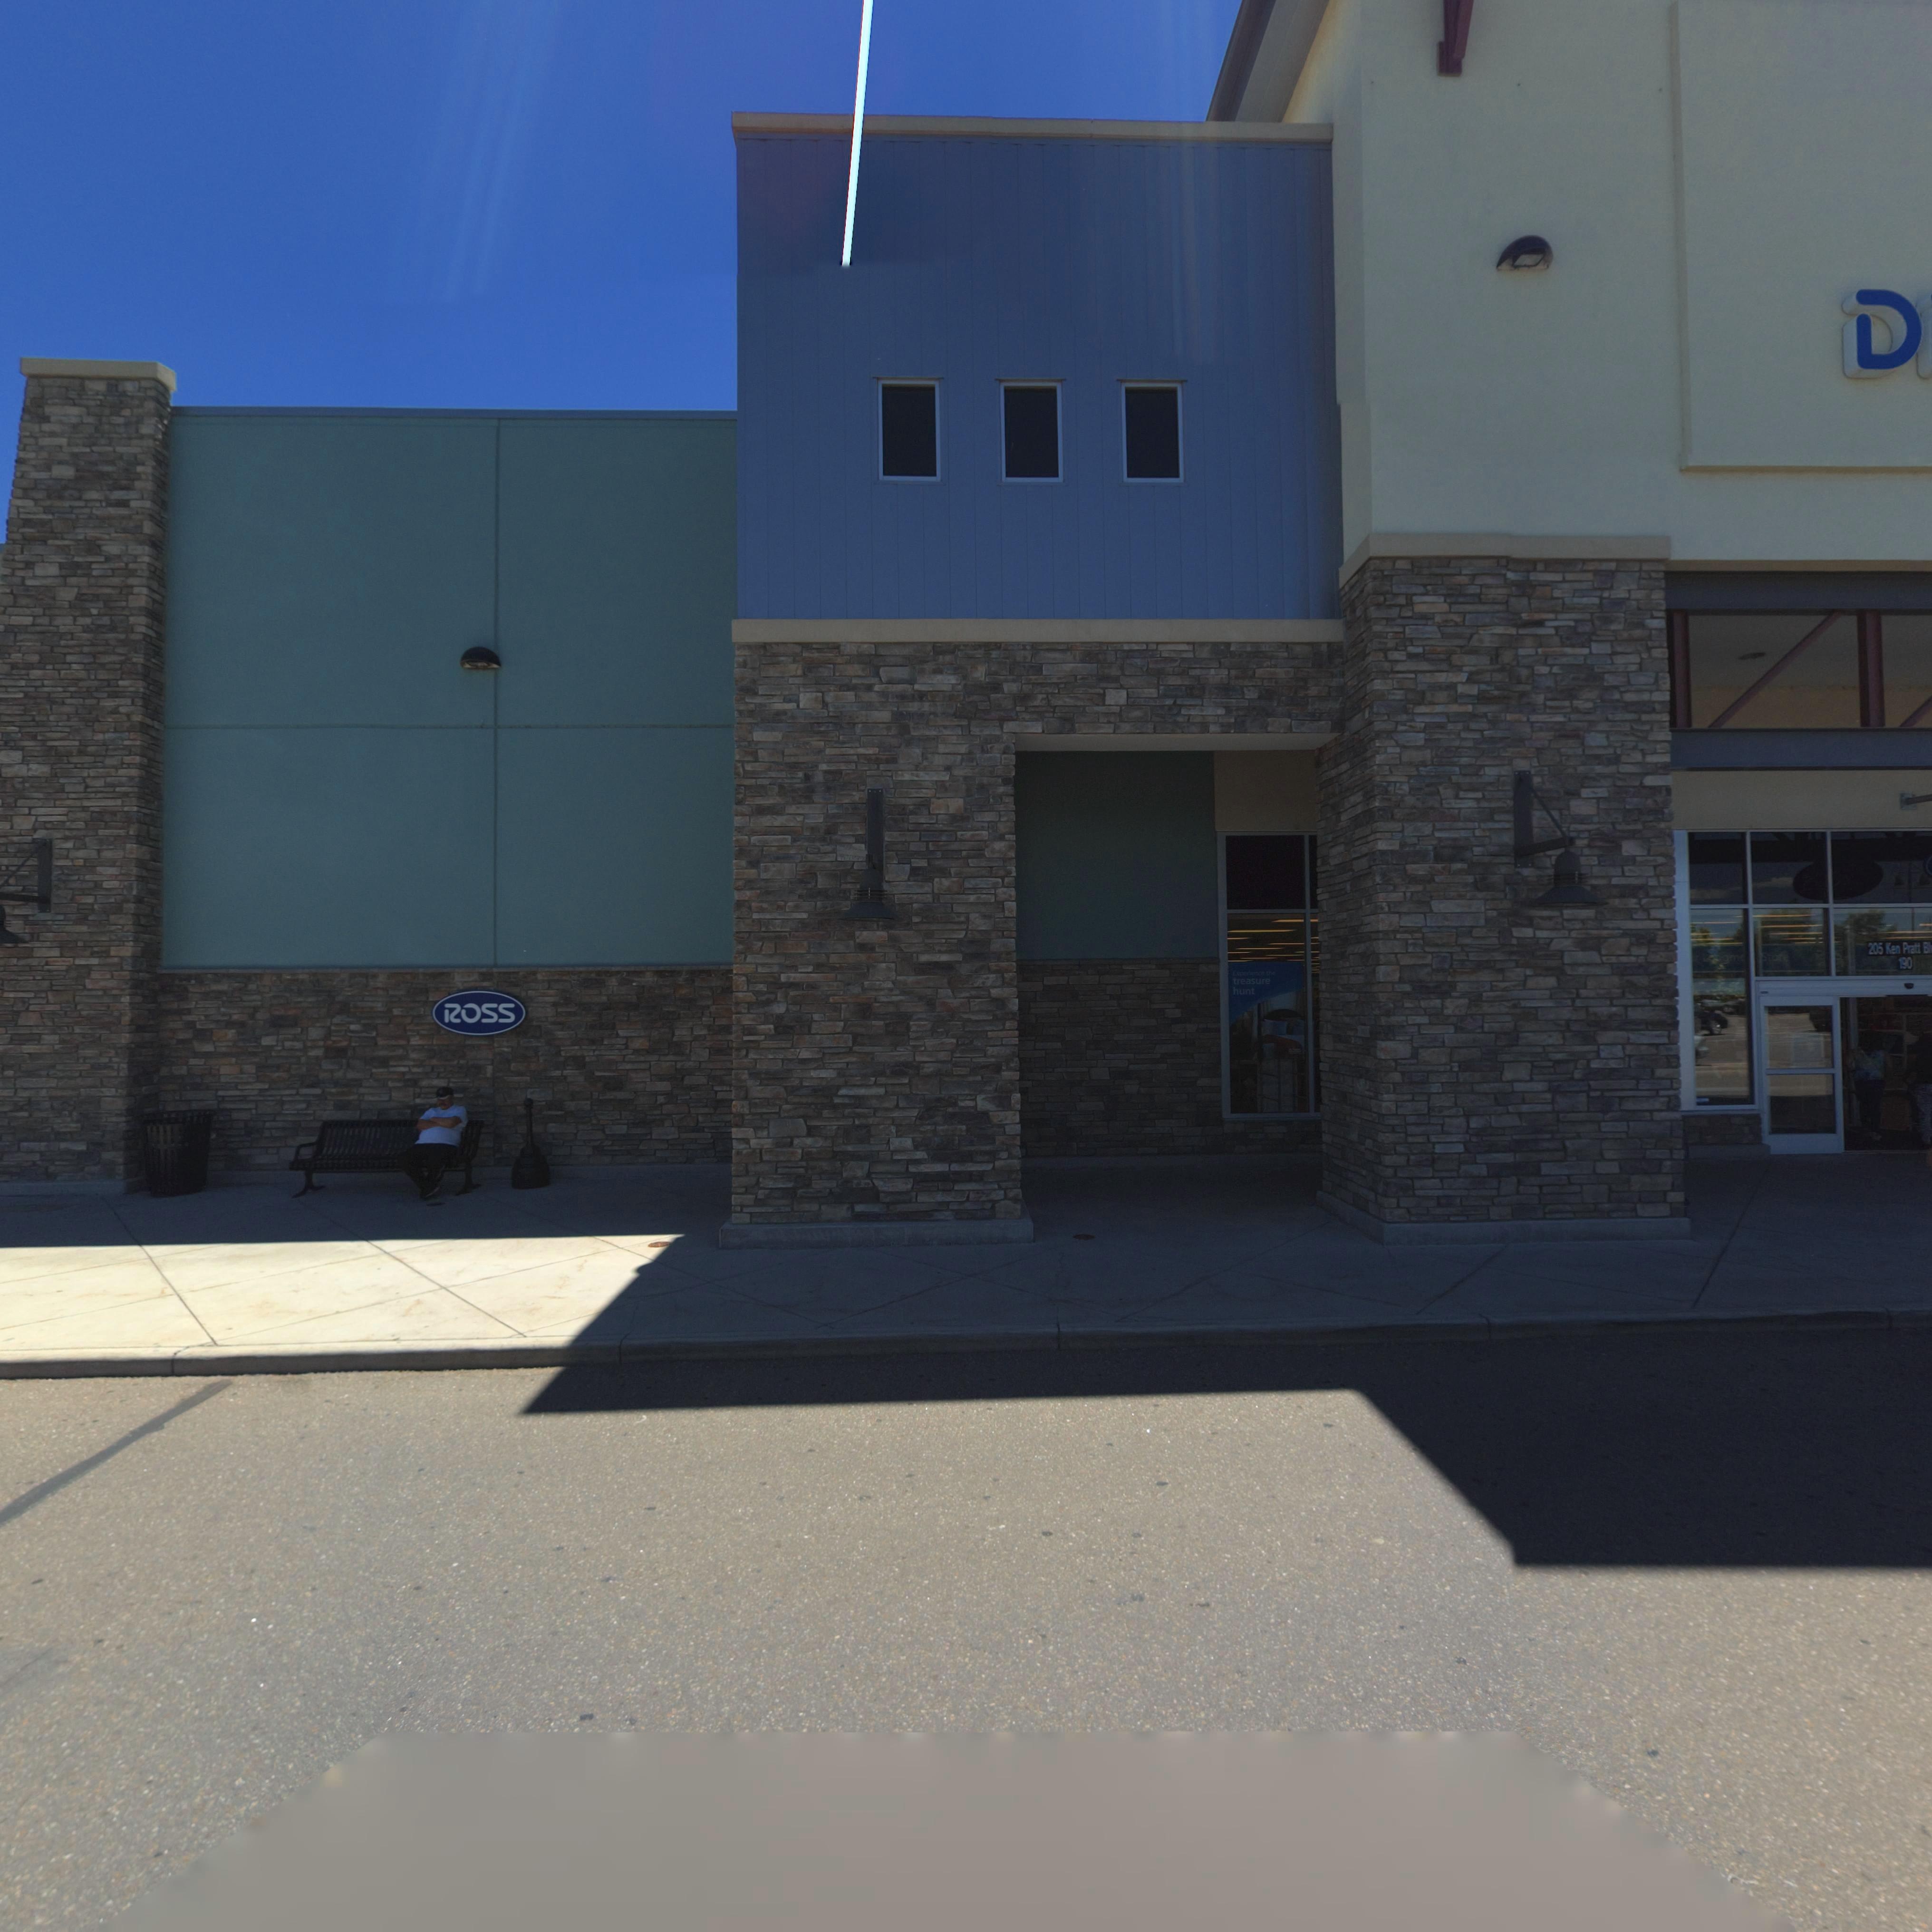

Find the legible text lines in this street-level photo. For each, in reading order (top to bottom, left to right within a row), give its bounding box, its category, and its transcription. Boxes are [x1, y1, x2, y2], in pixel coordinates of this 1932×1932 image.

[1840, 280, 1928, 382] BusinessName: D
[1866, 941, 1932, 954] StreetName: 205 Ken Pratt Bl
[1897, 956, 1913, 969] StreetNumber: 190
[443, 1002, 518, 1023] BusinessName: ROSS